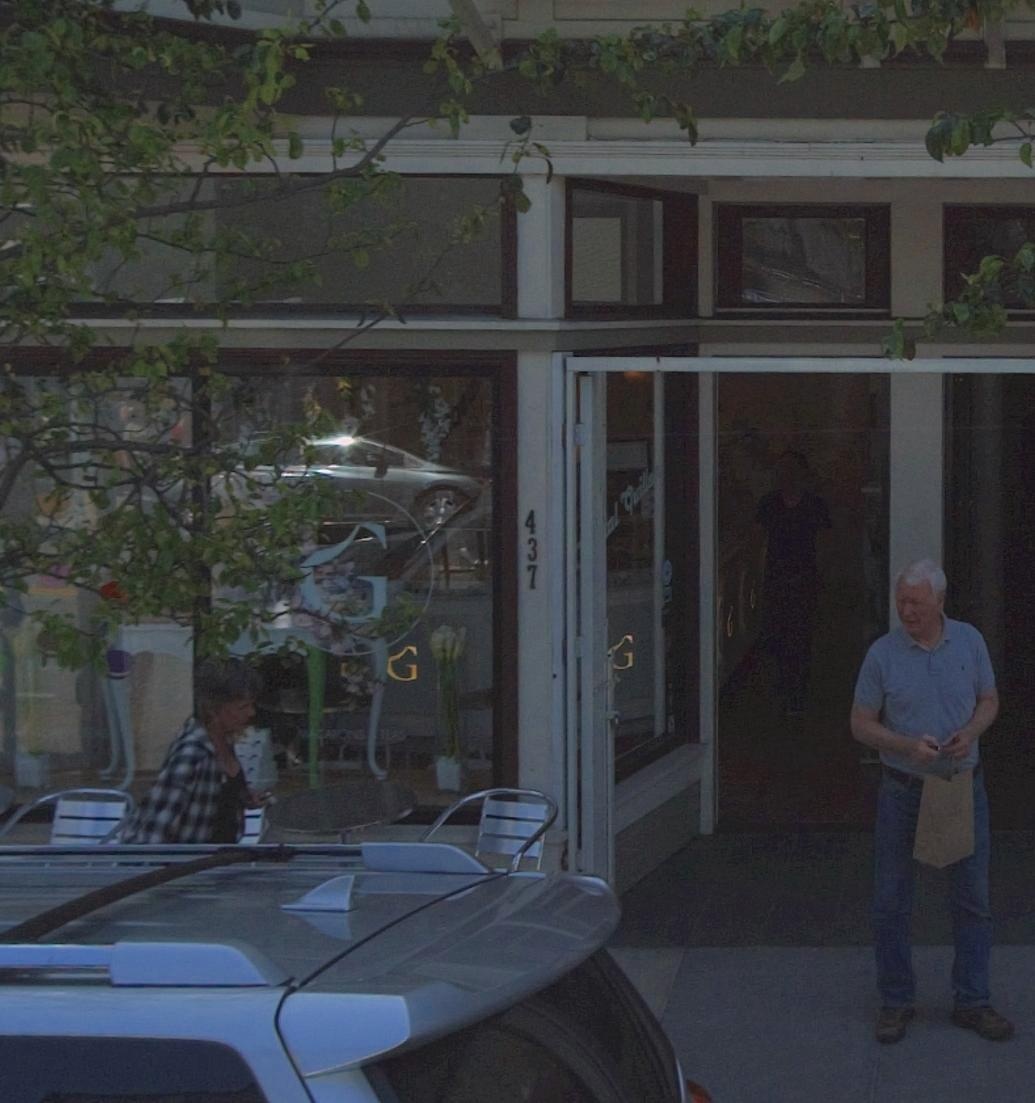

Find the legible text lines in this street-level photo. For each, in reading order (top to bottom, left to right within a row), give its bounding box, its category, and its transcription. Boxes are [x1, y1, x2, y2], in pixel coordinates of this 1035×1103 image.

[522, 507, 539, 591] StreetNumber: 437